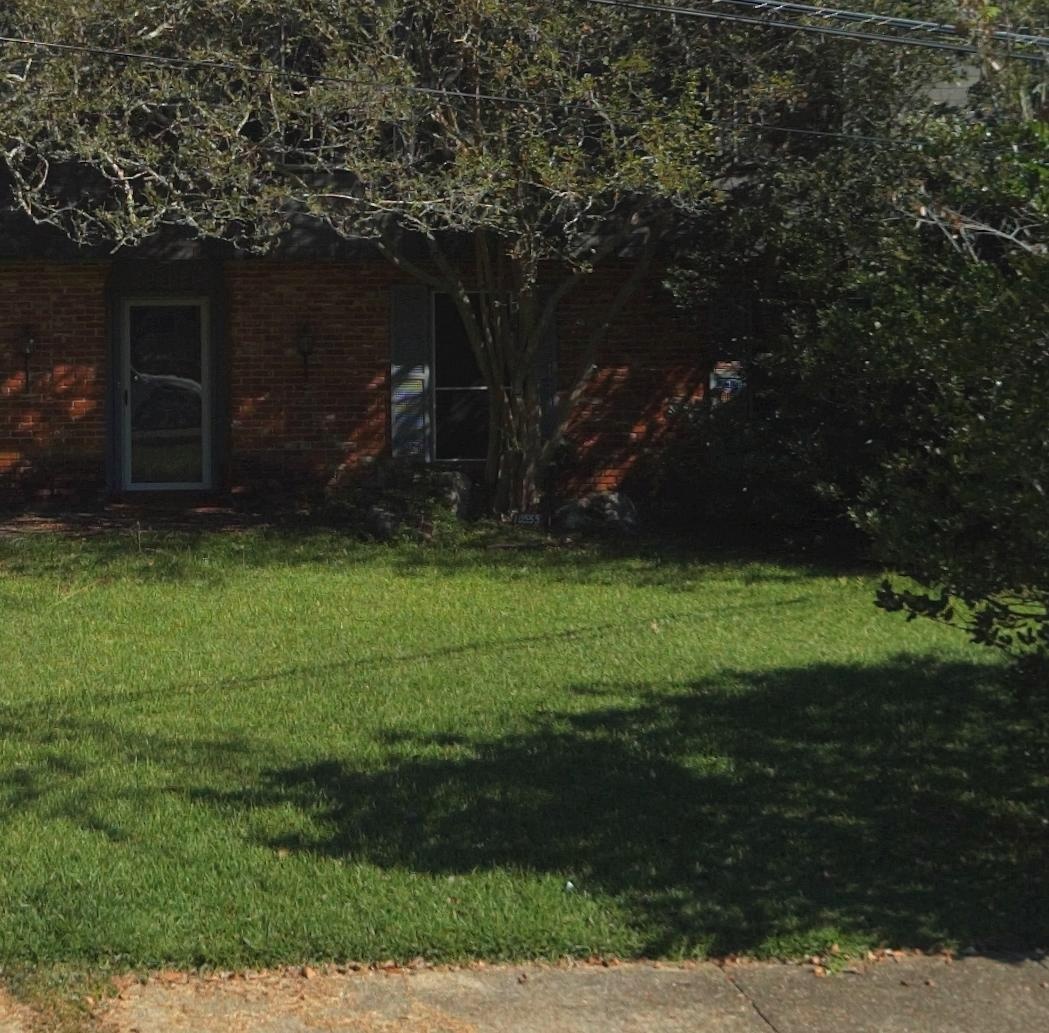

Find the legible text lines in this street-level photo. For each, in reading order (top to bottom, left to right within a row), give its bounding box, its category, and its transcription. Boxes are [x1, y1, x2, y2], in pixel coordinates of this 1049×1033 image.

[512, 512, 543, 525] StreetNumber: 10555